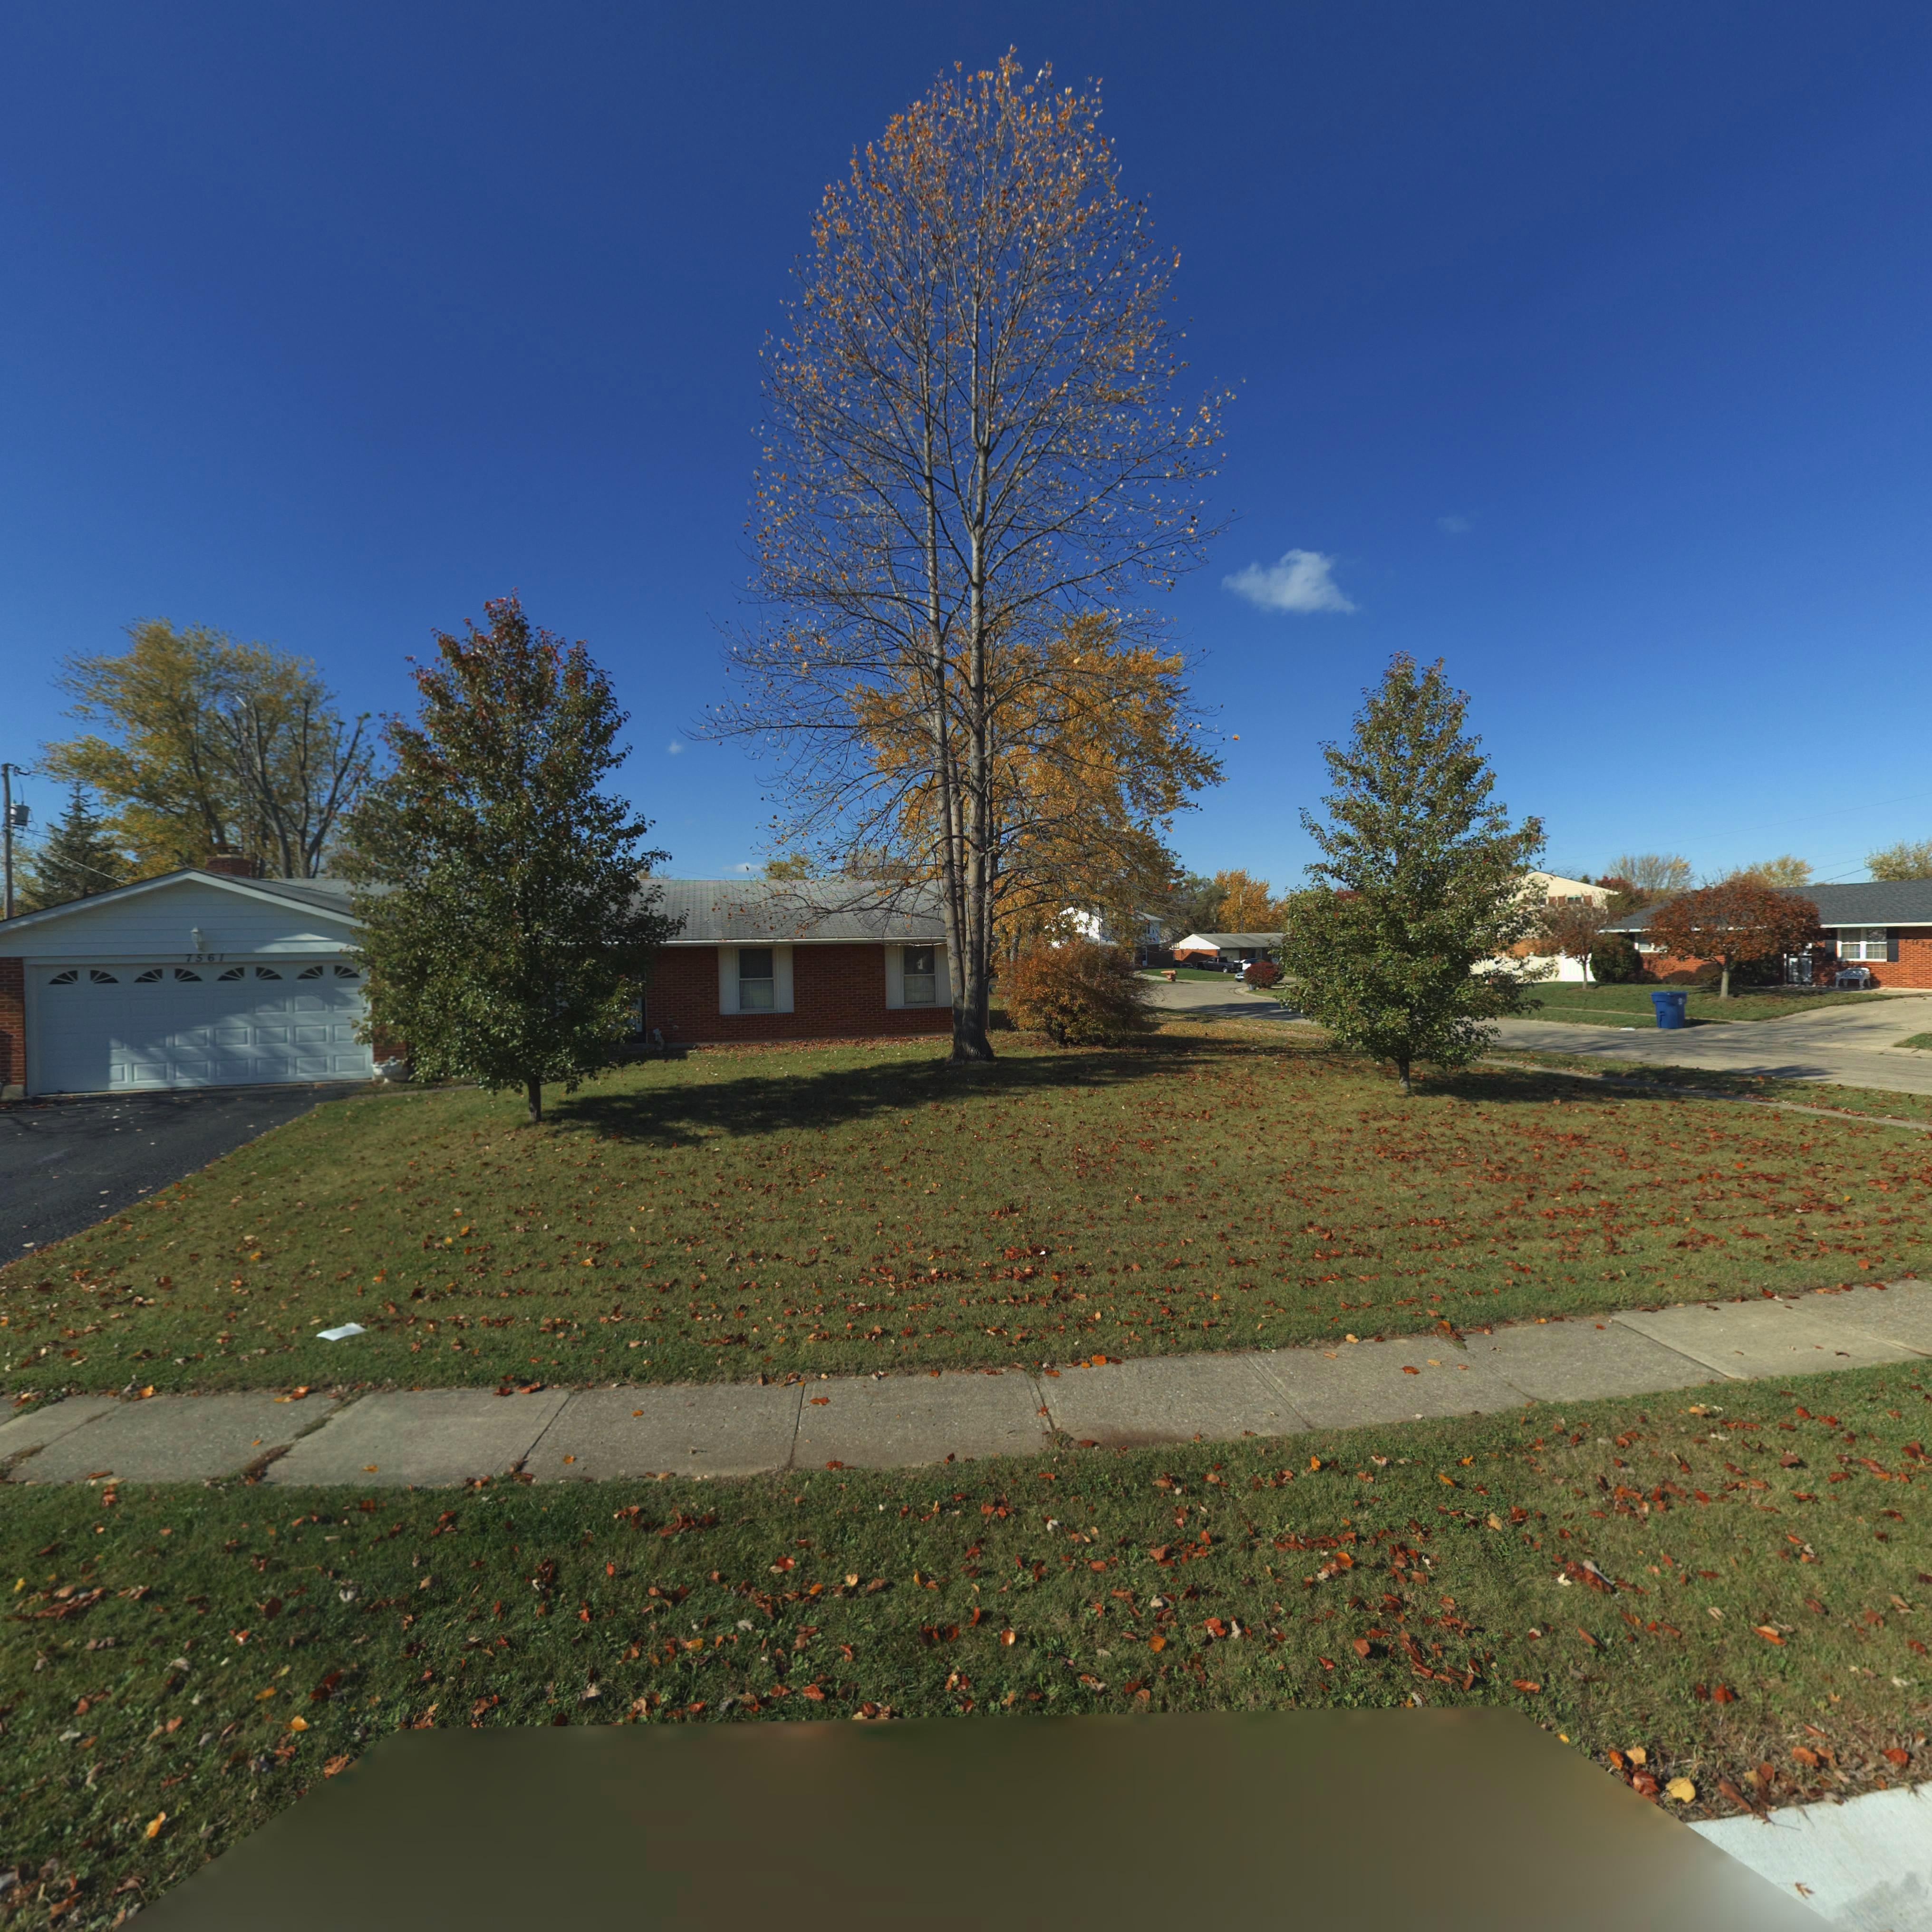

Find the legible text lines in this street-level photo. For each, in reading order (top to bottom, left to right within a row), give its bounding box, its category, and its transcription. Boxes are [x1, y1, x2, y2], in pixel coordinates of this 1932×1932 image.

[185, 953, 225, 963] StreetNumber: 7561